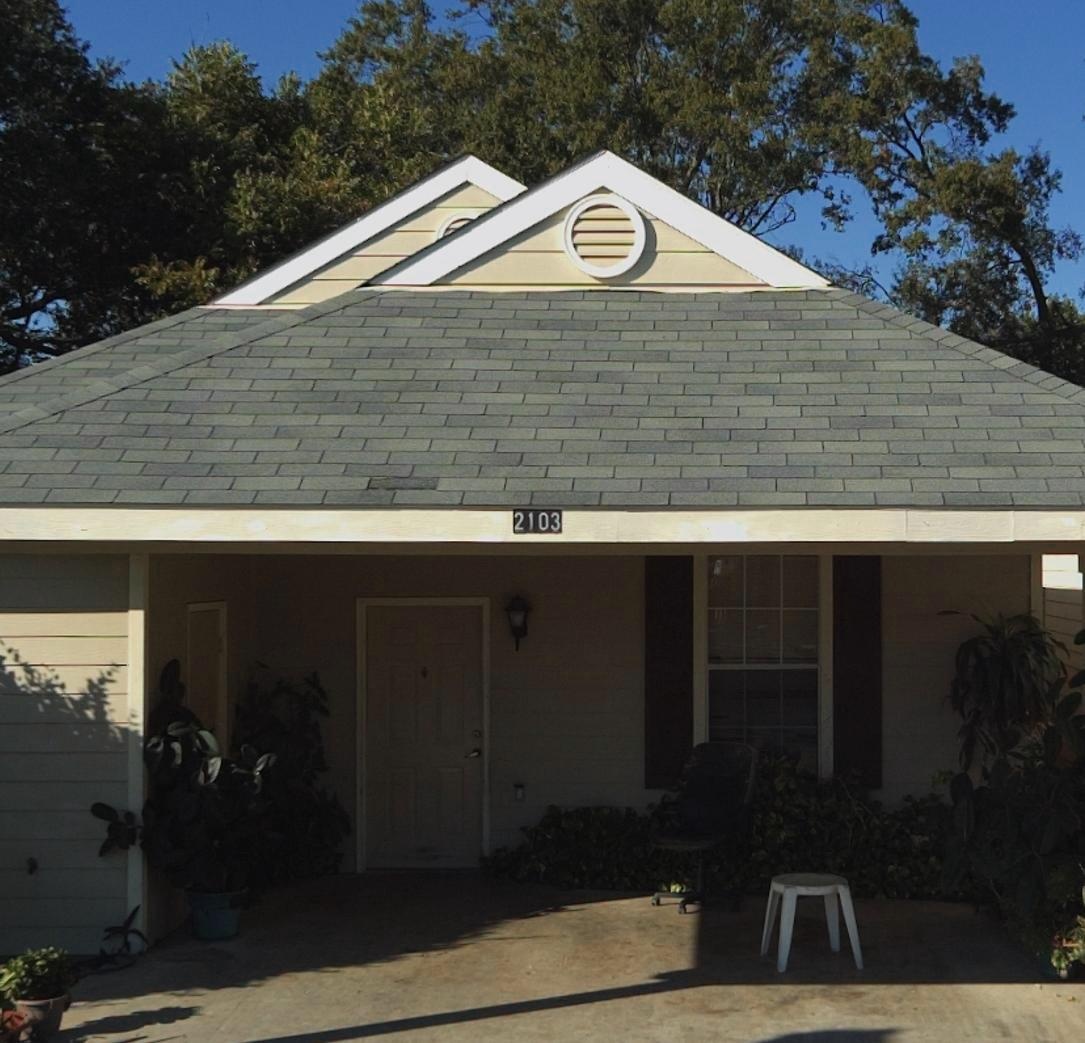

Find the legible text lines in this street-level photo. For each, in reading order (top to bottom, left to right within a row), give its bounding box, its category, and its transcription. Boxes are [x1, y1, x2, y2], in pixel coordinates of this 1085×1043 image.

[513, 510, 562, 533] StreetNumber: 2103